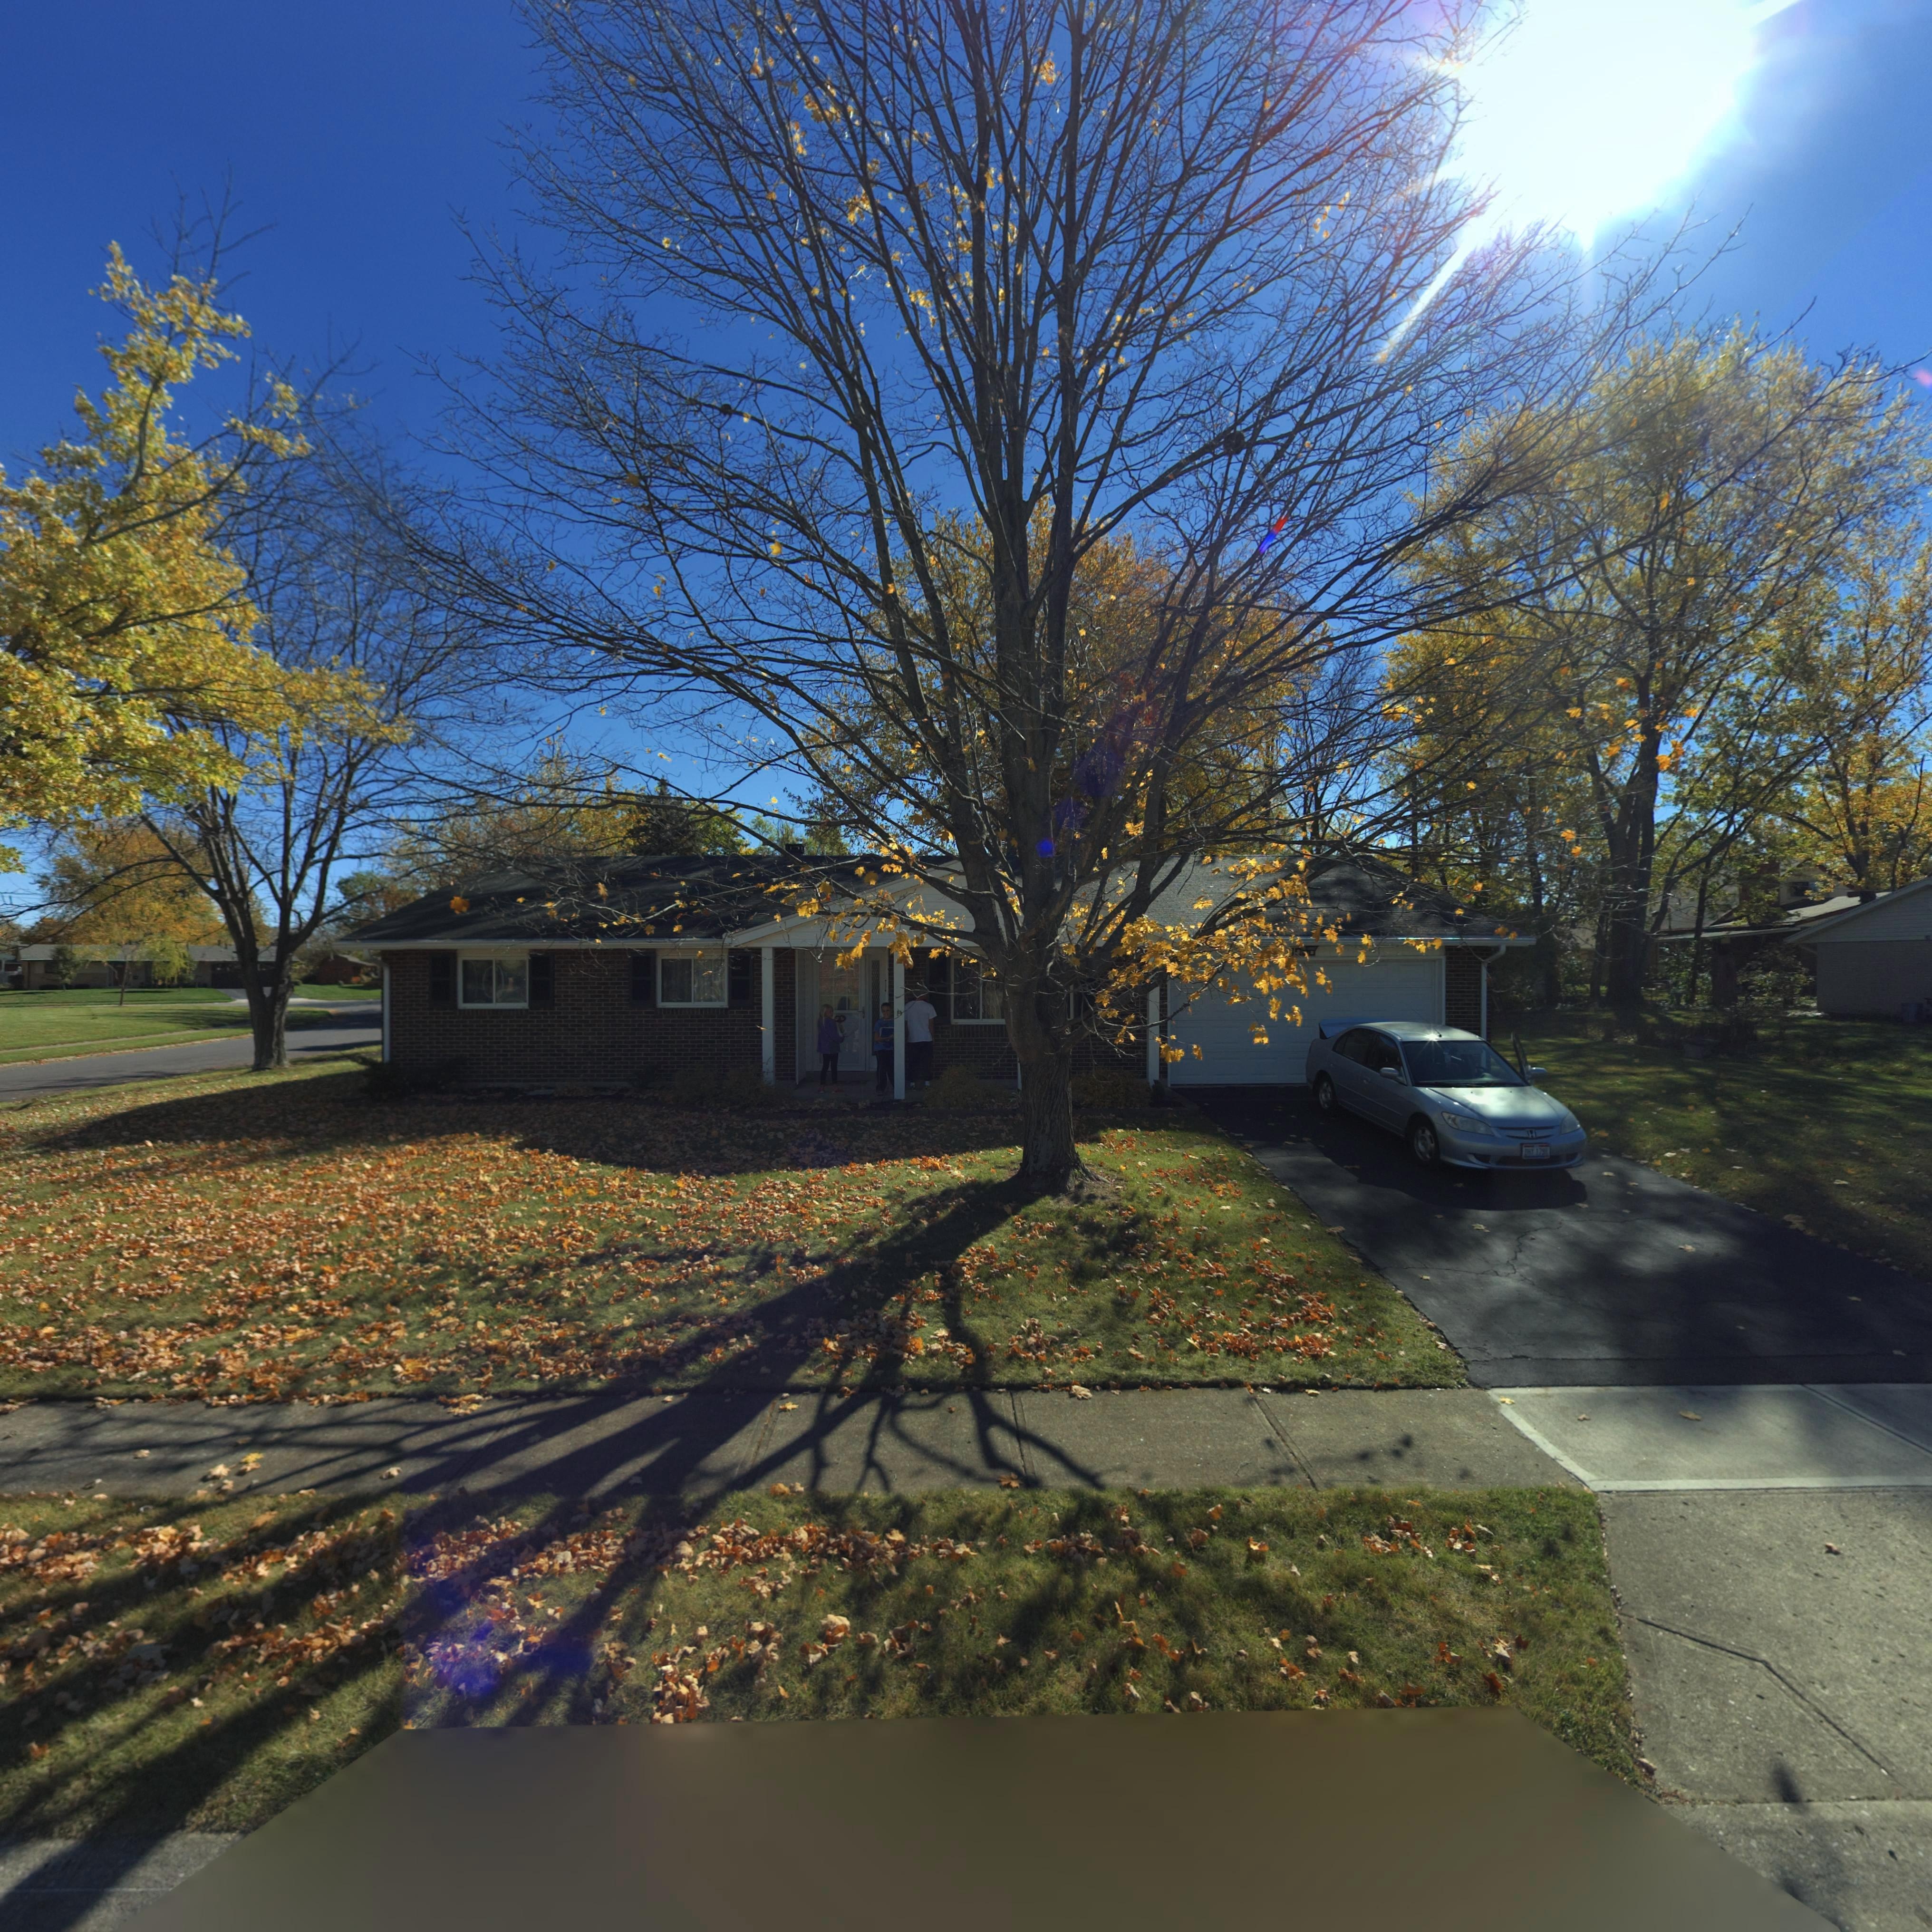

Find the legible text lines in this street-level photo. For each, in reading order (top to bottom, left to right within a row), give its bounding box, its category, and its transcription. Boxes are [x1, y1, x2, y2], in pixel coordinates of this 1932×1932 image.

[1291, 947, 1294, 956] StreetNumber: 1